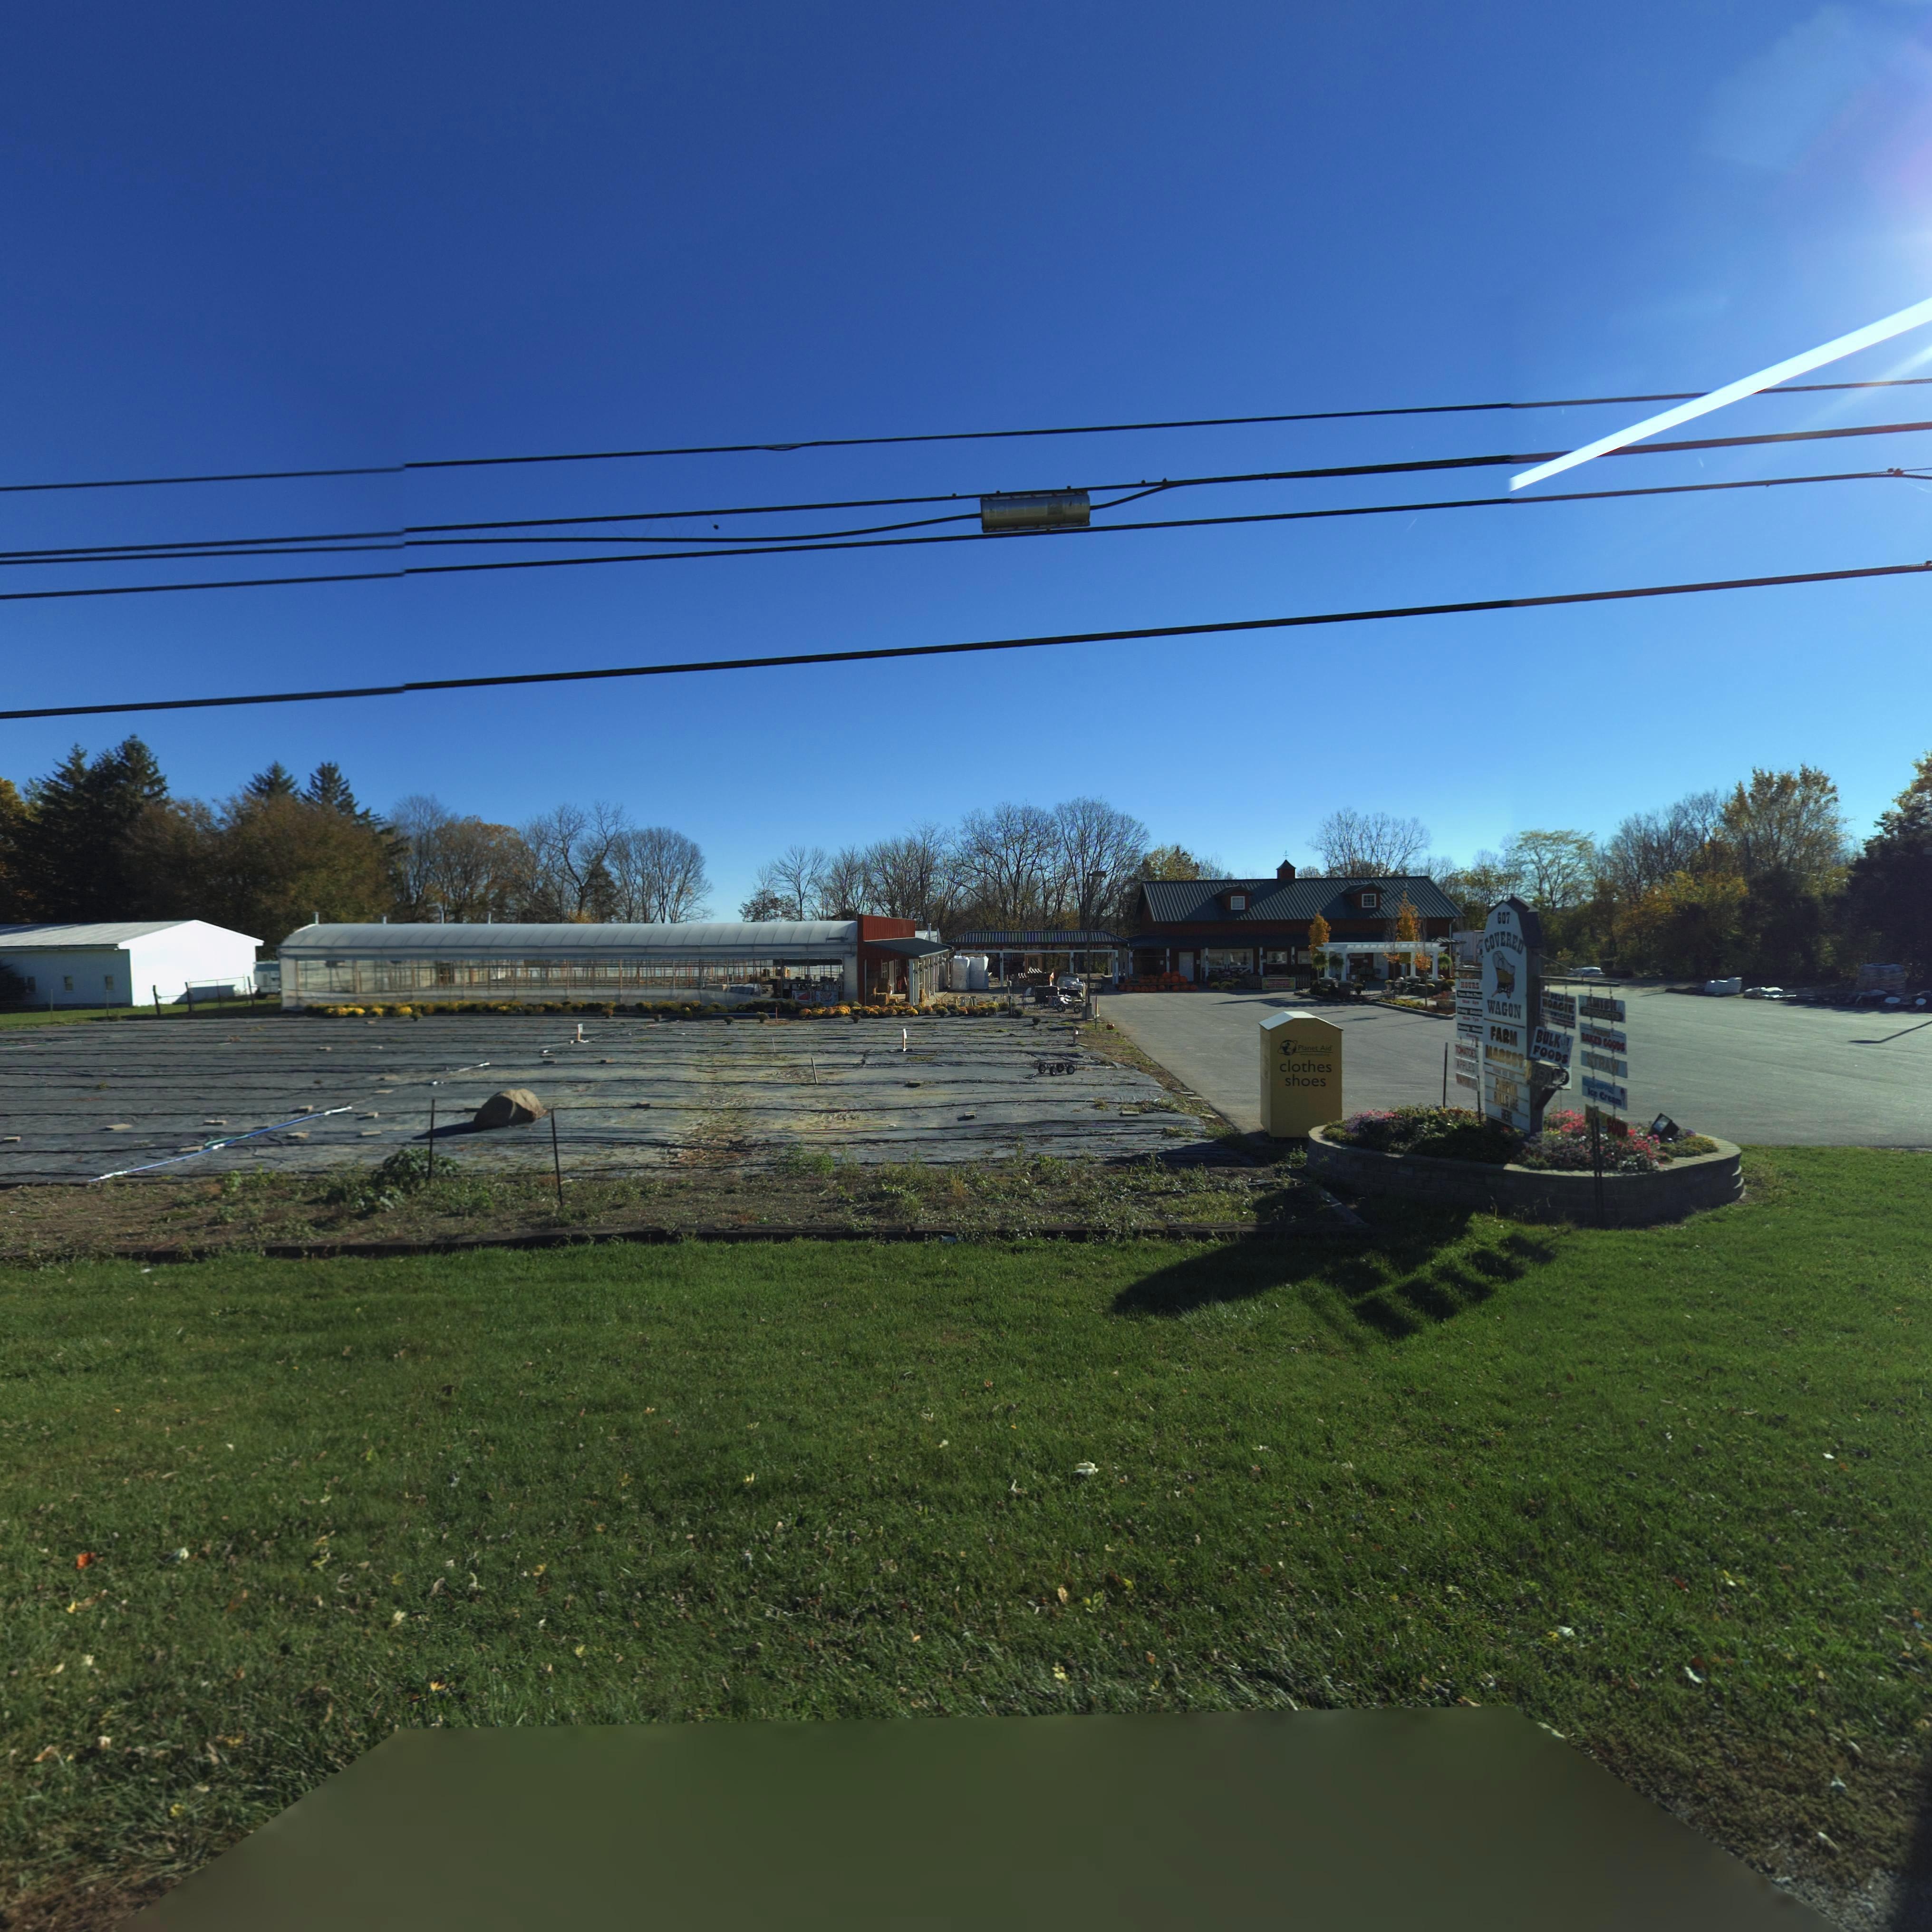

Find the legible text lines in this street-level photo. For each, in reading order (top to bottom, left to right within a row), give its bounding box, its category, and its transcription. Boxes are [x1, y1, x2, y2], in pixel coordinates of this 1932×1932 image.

[1497, 911, 1511, 925] StreetNumber: 607
[1482, 931, 1525, 956] BusinessName: COVERED
[1460, 981, 1479, 990] None: HOURS
[1485, 999, 1522, 1020] BusinessName: WAGON
[1542, 997, 1575, 1015] None: HOAGIE
[1585, 996, 1617, 1012] None: AMISH
[1582, 1007, 1621, 1021] None: PRODUCTS
[1278, 1056, 1332, 1072] None: clothes
[1297, 1043, 1332, 1052] None: Planet Aid
[1456, 1058, 1475, 1074] None: APPLES
[1455, 1044, 1478, 1059] None: TOMATOES
[1489, 1025, 1518, 1049] BusinessName: FARM
[1484, 1043, 1526, 1071] BusinessName: MARKET
[1536, 1028, 1561, 1051] None: BULK
[1532, 1043, 1569, 1066] None: FOODS
[1586, 1051, 1620, 1076] None: STRAW
[1581, 1033, 1626, 1054] None: BAKED GOODS
[1283, 1073, 1326, 1088] None: shoes
[1493, 1089, 1519, 1113] None: B*LLS ARE
[1495, 1076, 1519, 1098] None: P**P**
[1587, 1086, 1622, 1107] None: Ice Cream
[1500, 1107, 1513, 1125] None: HERE
[1605, 1116, 1627, 1142] None: soup